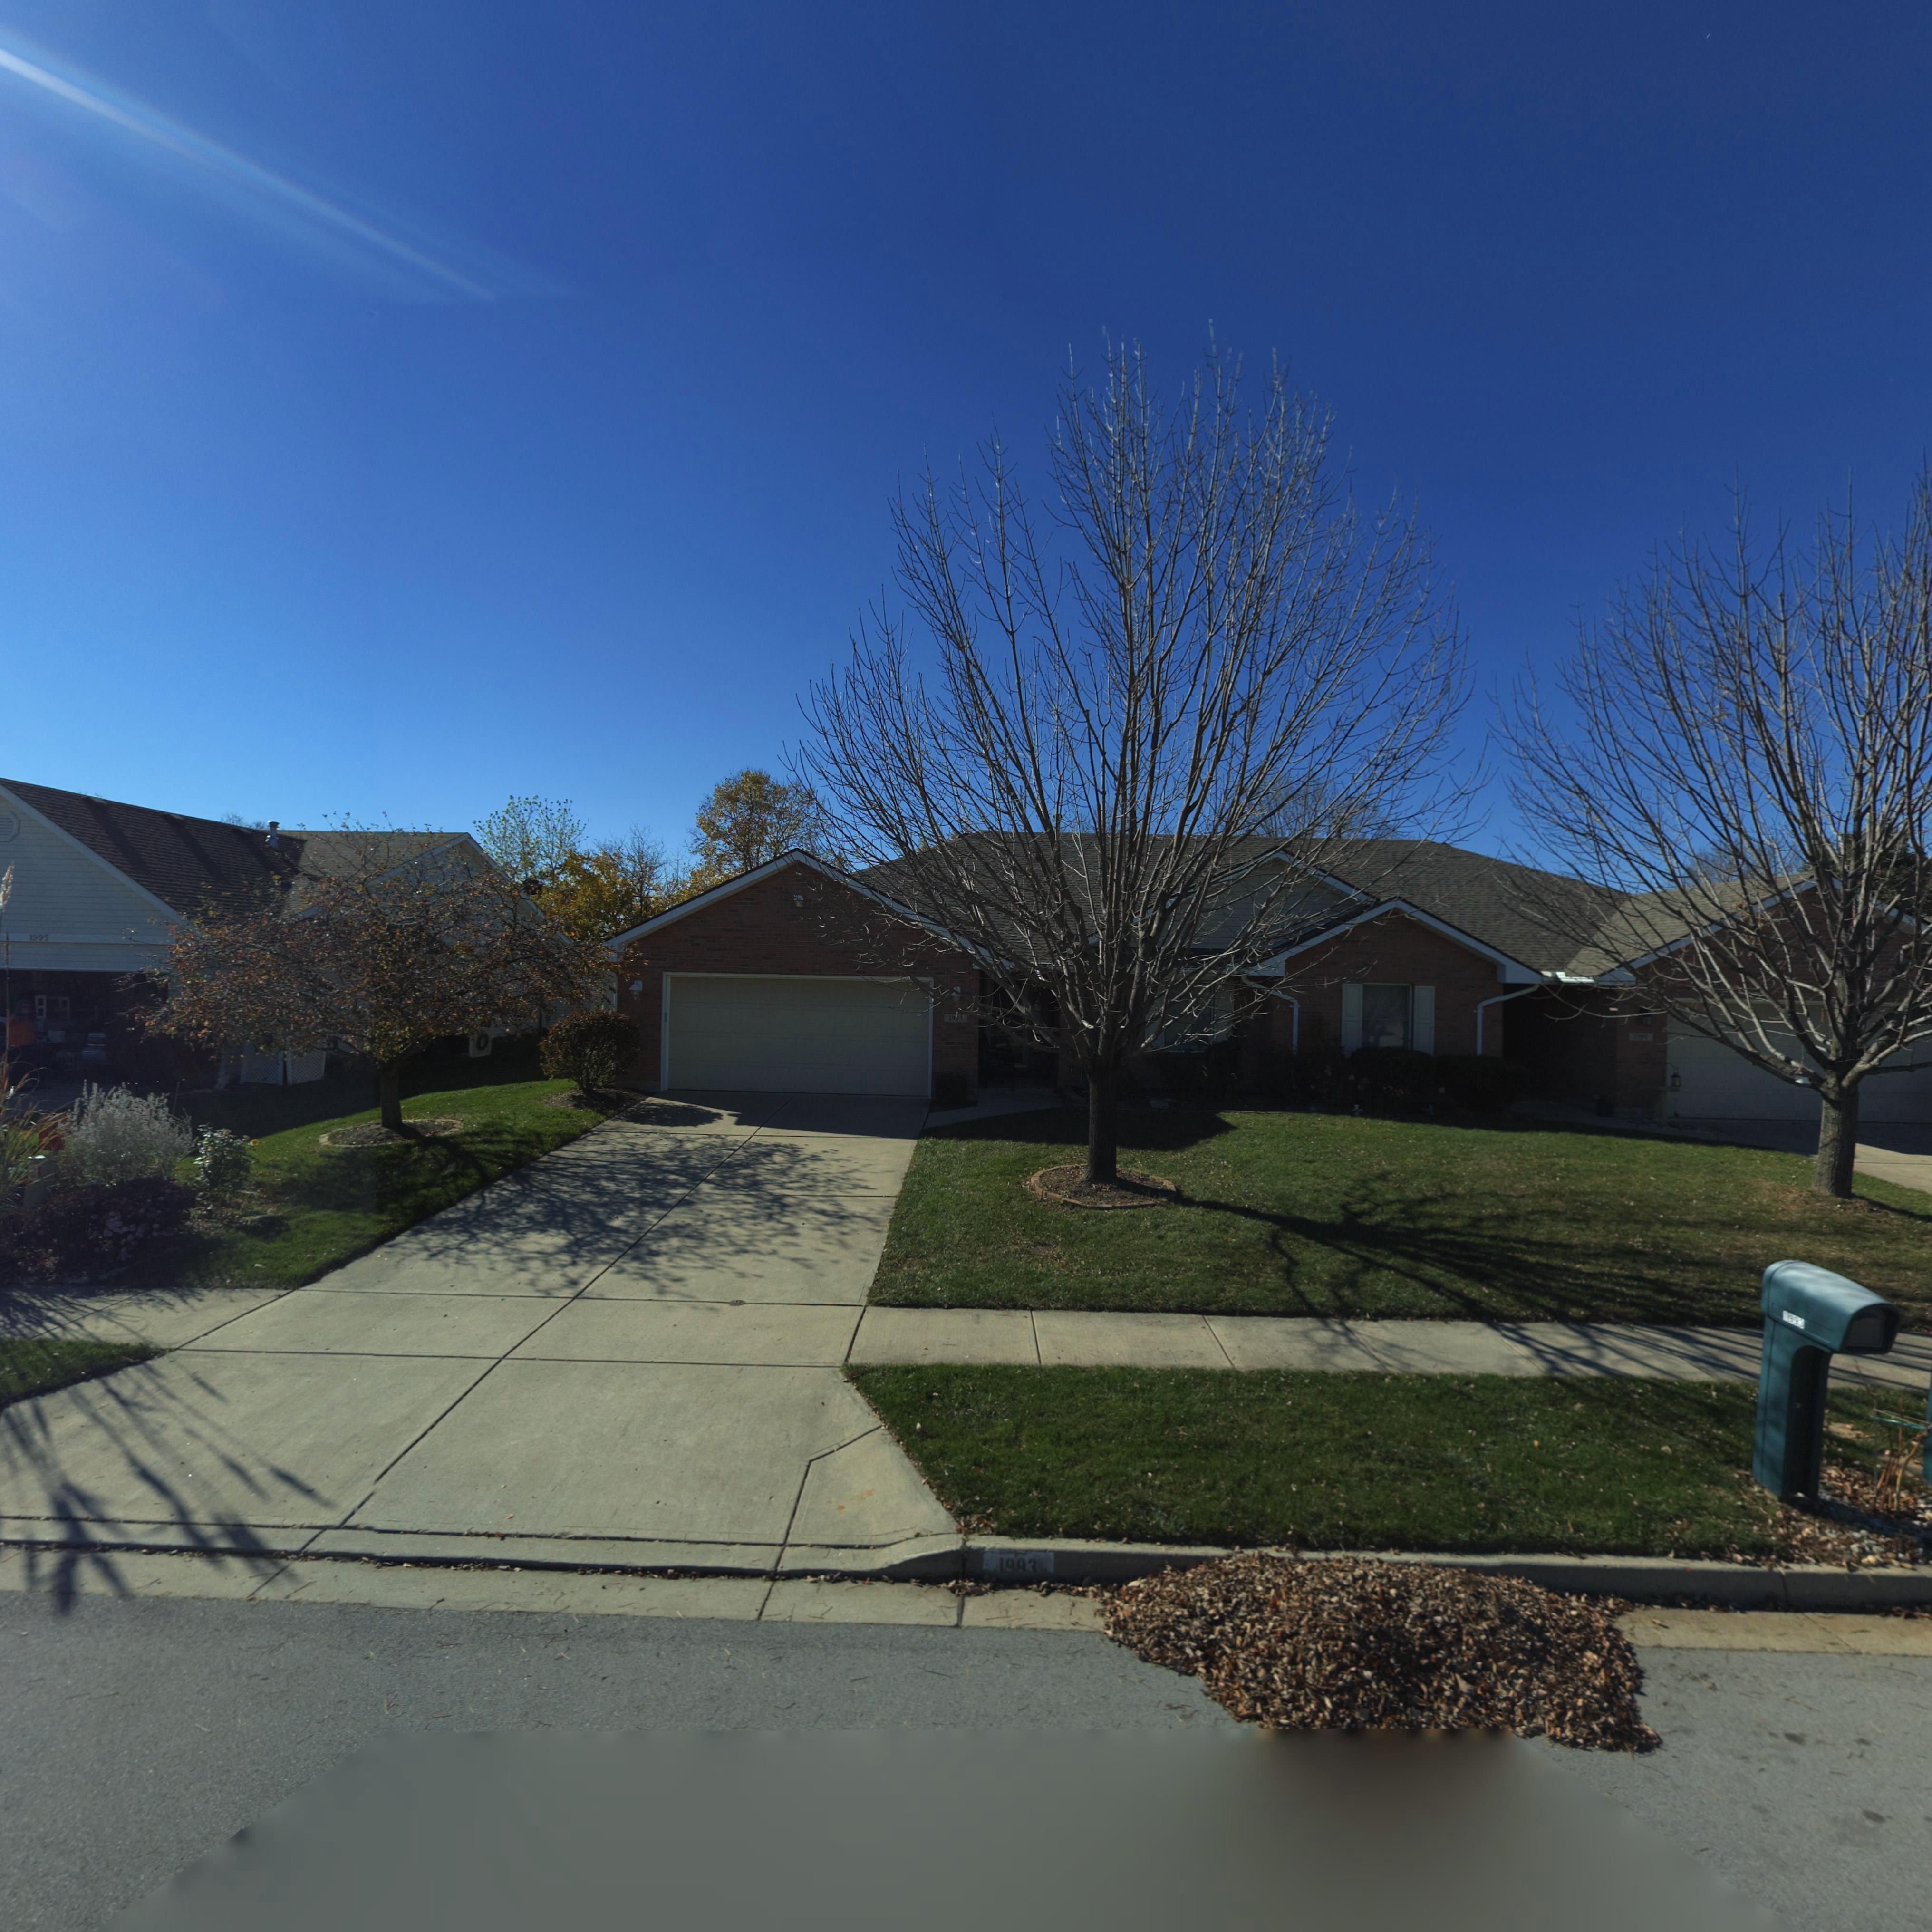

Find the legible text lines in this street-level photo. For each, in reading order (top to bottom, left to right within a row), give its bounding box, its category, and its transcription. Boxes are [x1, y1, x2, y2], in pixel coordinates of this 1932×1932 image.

[948, 1014, 964, 1022] StreetNumber: 19*3
[1782, 1310, 1804, 1329] StreetNumber: *993